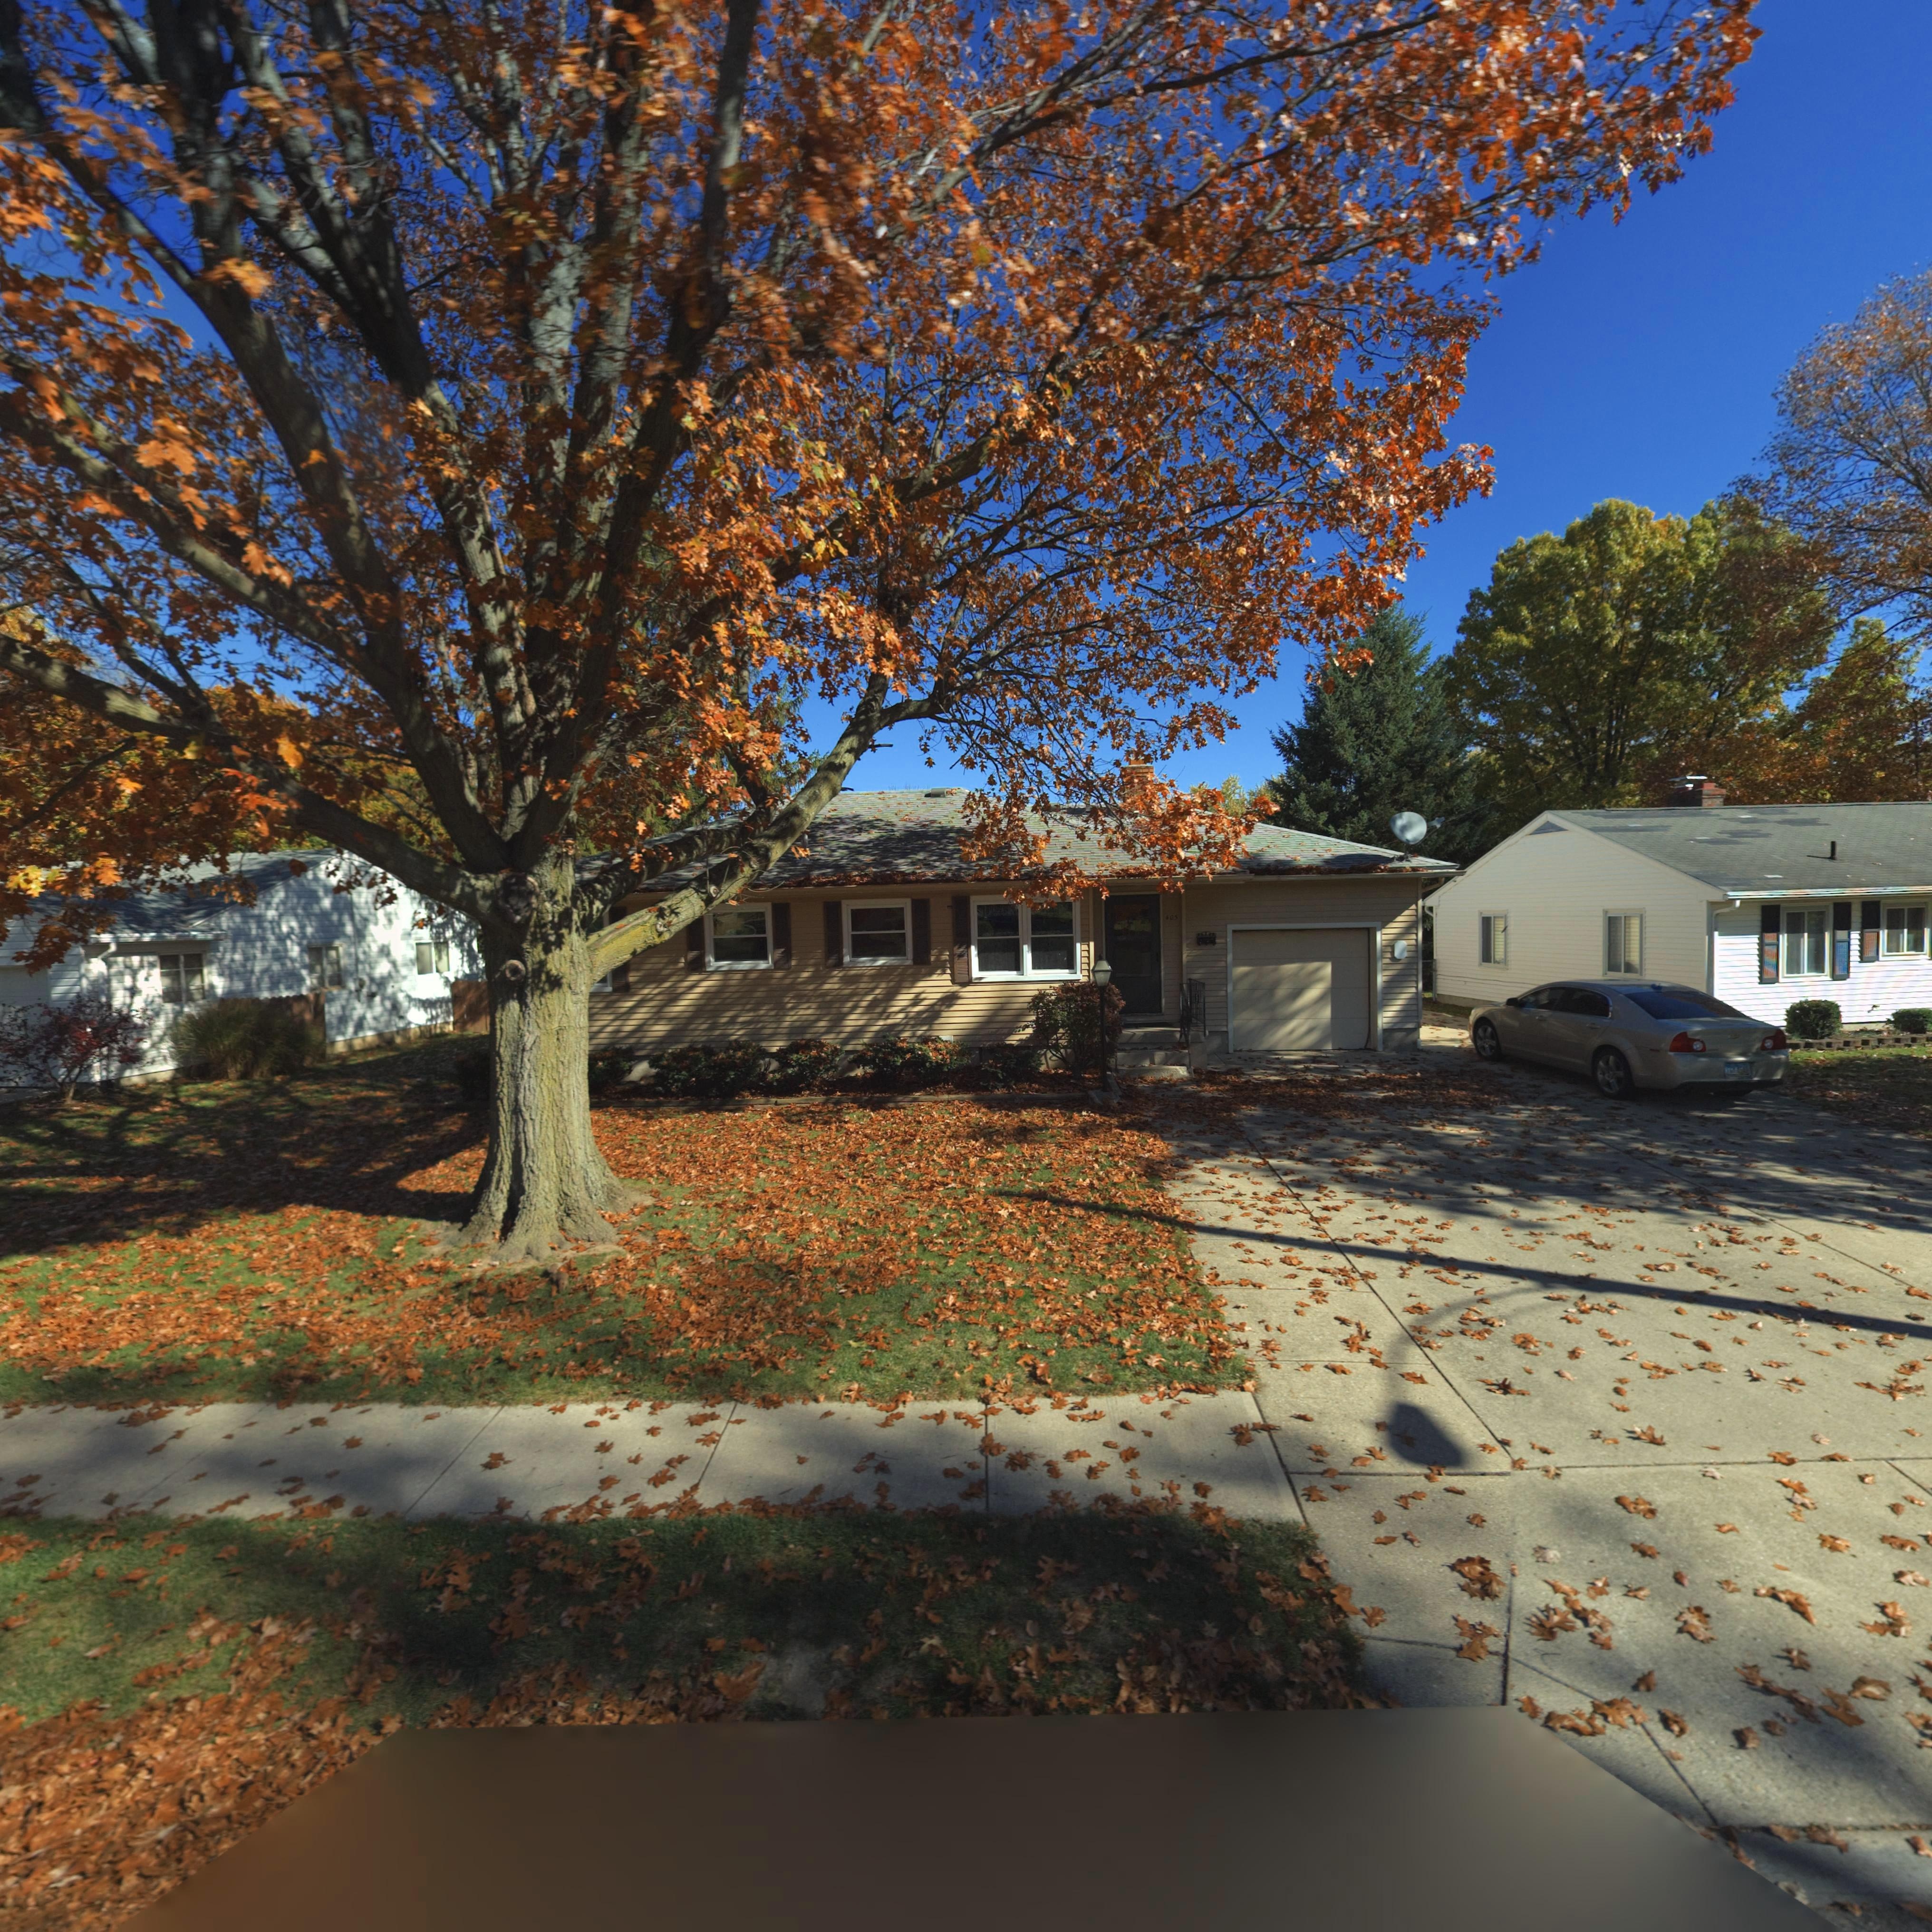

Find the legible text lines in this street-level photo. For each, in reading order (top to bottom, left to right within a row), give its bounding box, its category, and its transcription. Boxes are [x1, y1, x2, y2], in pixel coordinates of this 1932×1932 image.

[1165, 914, 1178, 920] StreetNumber: 405